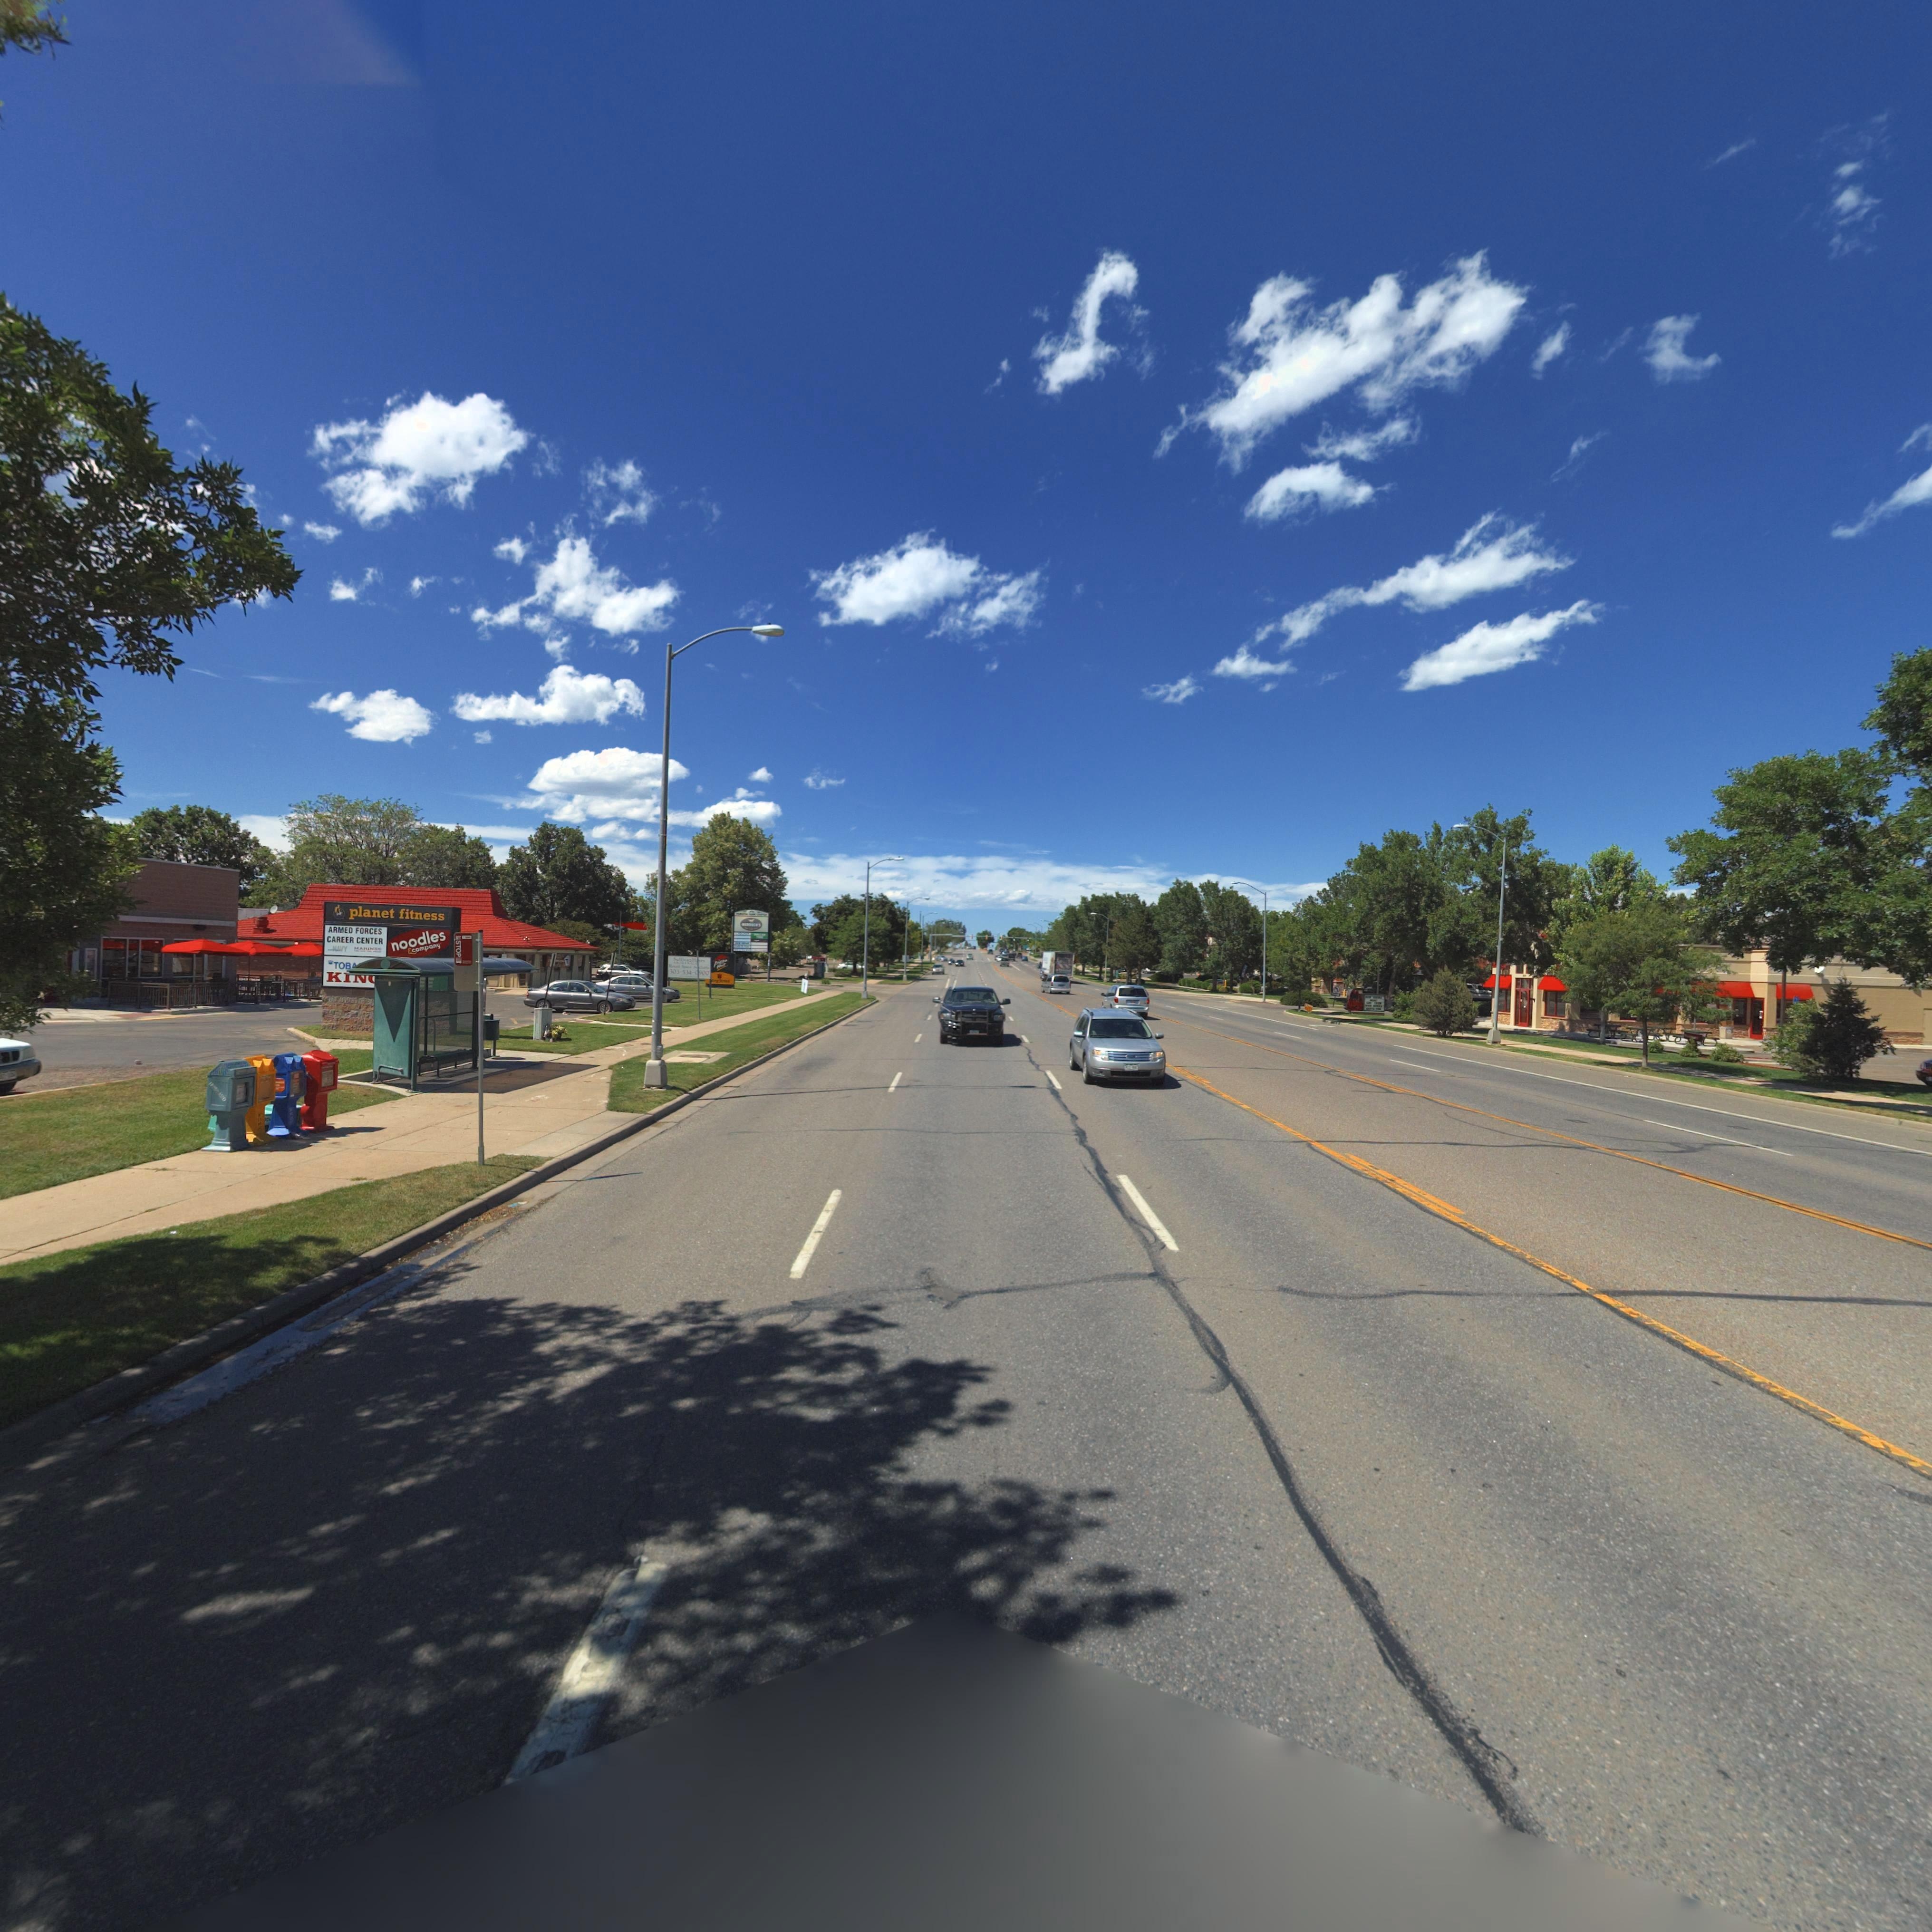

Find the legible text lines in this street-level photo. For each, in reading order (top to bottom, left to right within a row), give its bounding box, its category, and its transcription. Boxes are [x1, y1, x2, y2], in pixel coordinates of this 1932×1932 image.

[348, 906, 445, 921] BusinessName: planet fitness
[328, 926, 382, 935] BusinessName: ARMED FORCES
[327, 936, 383, 944] BusinessName: CAREER CENTER
[390, 930, 447, 951] BusinessName: noodles
[410, 943, 441, 953] BusinessName: company
[332, 962, 359, 969] BusinessName: TOB*
[713, 958, 728, 968] BusinessName: pizza
[716, 962, 727, 969] BusinessName: H*t
[326, 972, 380, 984] BusinessName: KI**
[711, 979, 730, 983] BusinessName: ****S****t
[1345, 998, 1362, 1010] BusinessName: Arby's